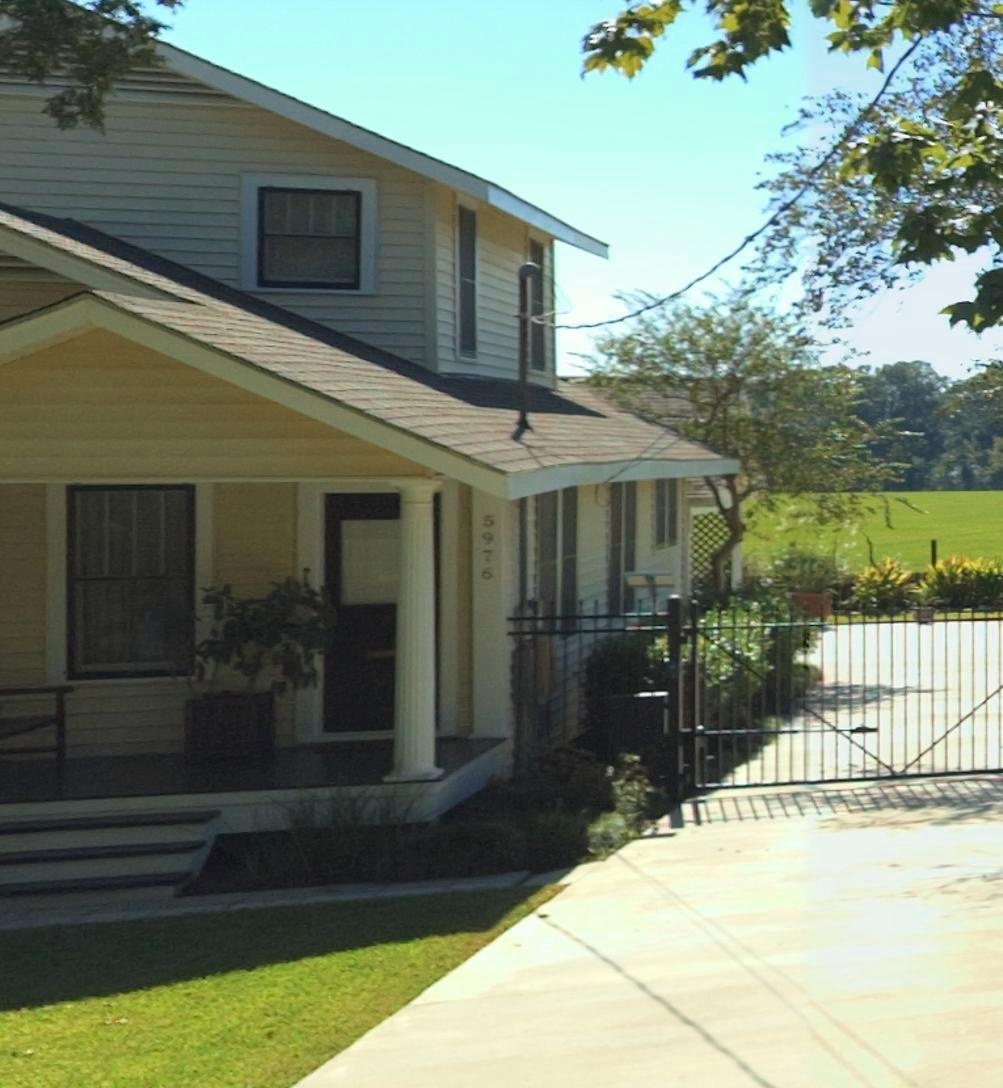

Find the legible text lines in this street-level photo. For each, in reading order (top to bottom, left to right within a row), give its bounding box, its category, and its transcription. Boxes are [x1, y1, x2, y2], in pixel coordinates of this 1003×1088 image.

[478, 512, 497, 582] StreetNumber: 5976